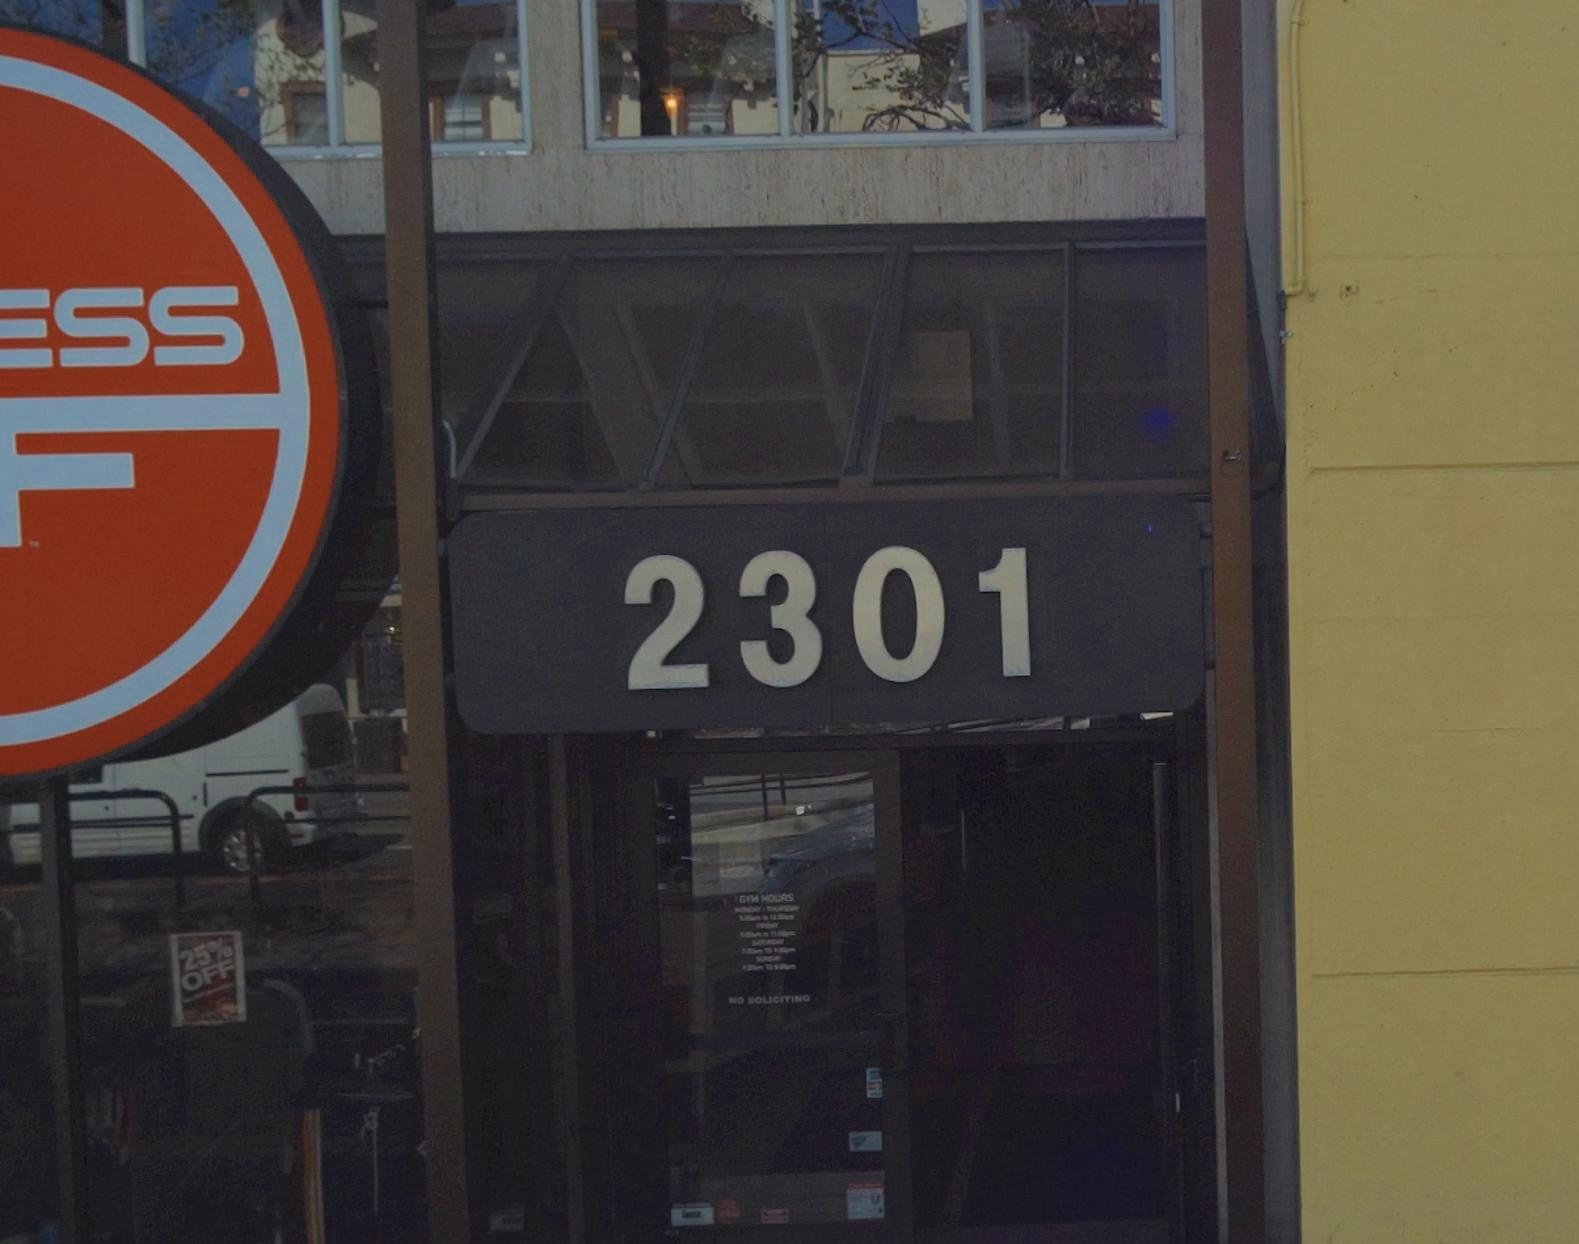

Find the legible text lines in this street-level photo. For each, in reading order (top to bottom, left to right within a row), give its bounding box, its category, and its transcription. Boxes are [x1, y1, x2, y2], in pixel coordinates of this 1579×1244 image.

[51, 283, 249, 371] BusinessName: SS
[619, 537, 1037, 693] StreetNumber: 2301
[738, 892, 796, 905] None: GYM HOURS
[733, 903, 801, 914] None: MONDAY-THURSDAY
[755, 922, 781, 929] None: FRIDAY
[750, 937, 785, 946] None: SATURDAY
[177, 942, 215, 974] None: 25
[755, 954, 782, 963] None: SUNDAY
[179, 956, 239, 995] None: OFF
[727, 994, 812, 1005] None: NO SOLICITING